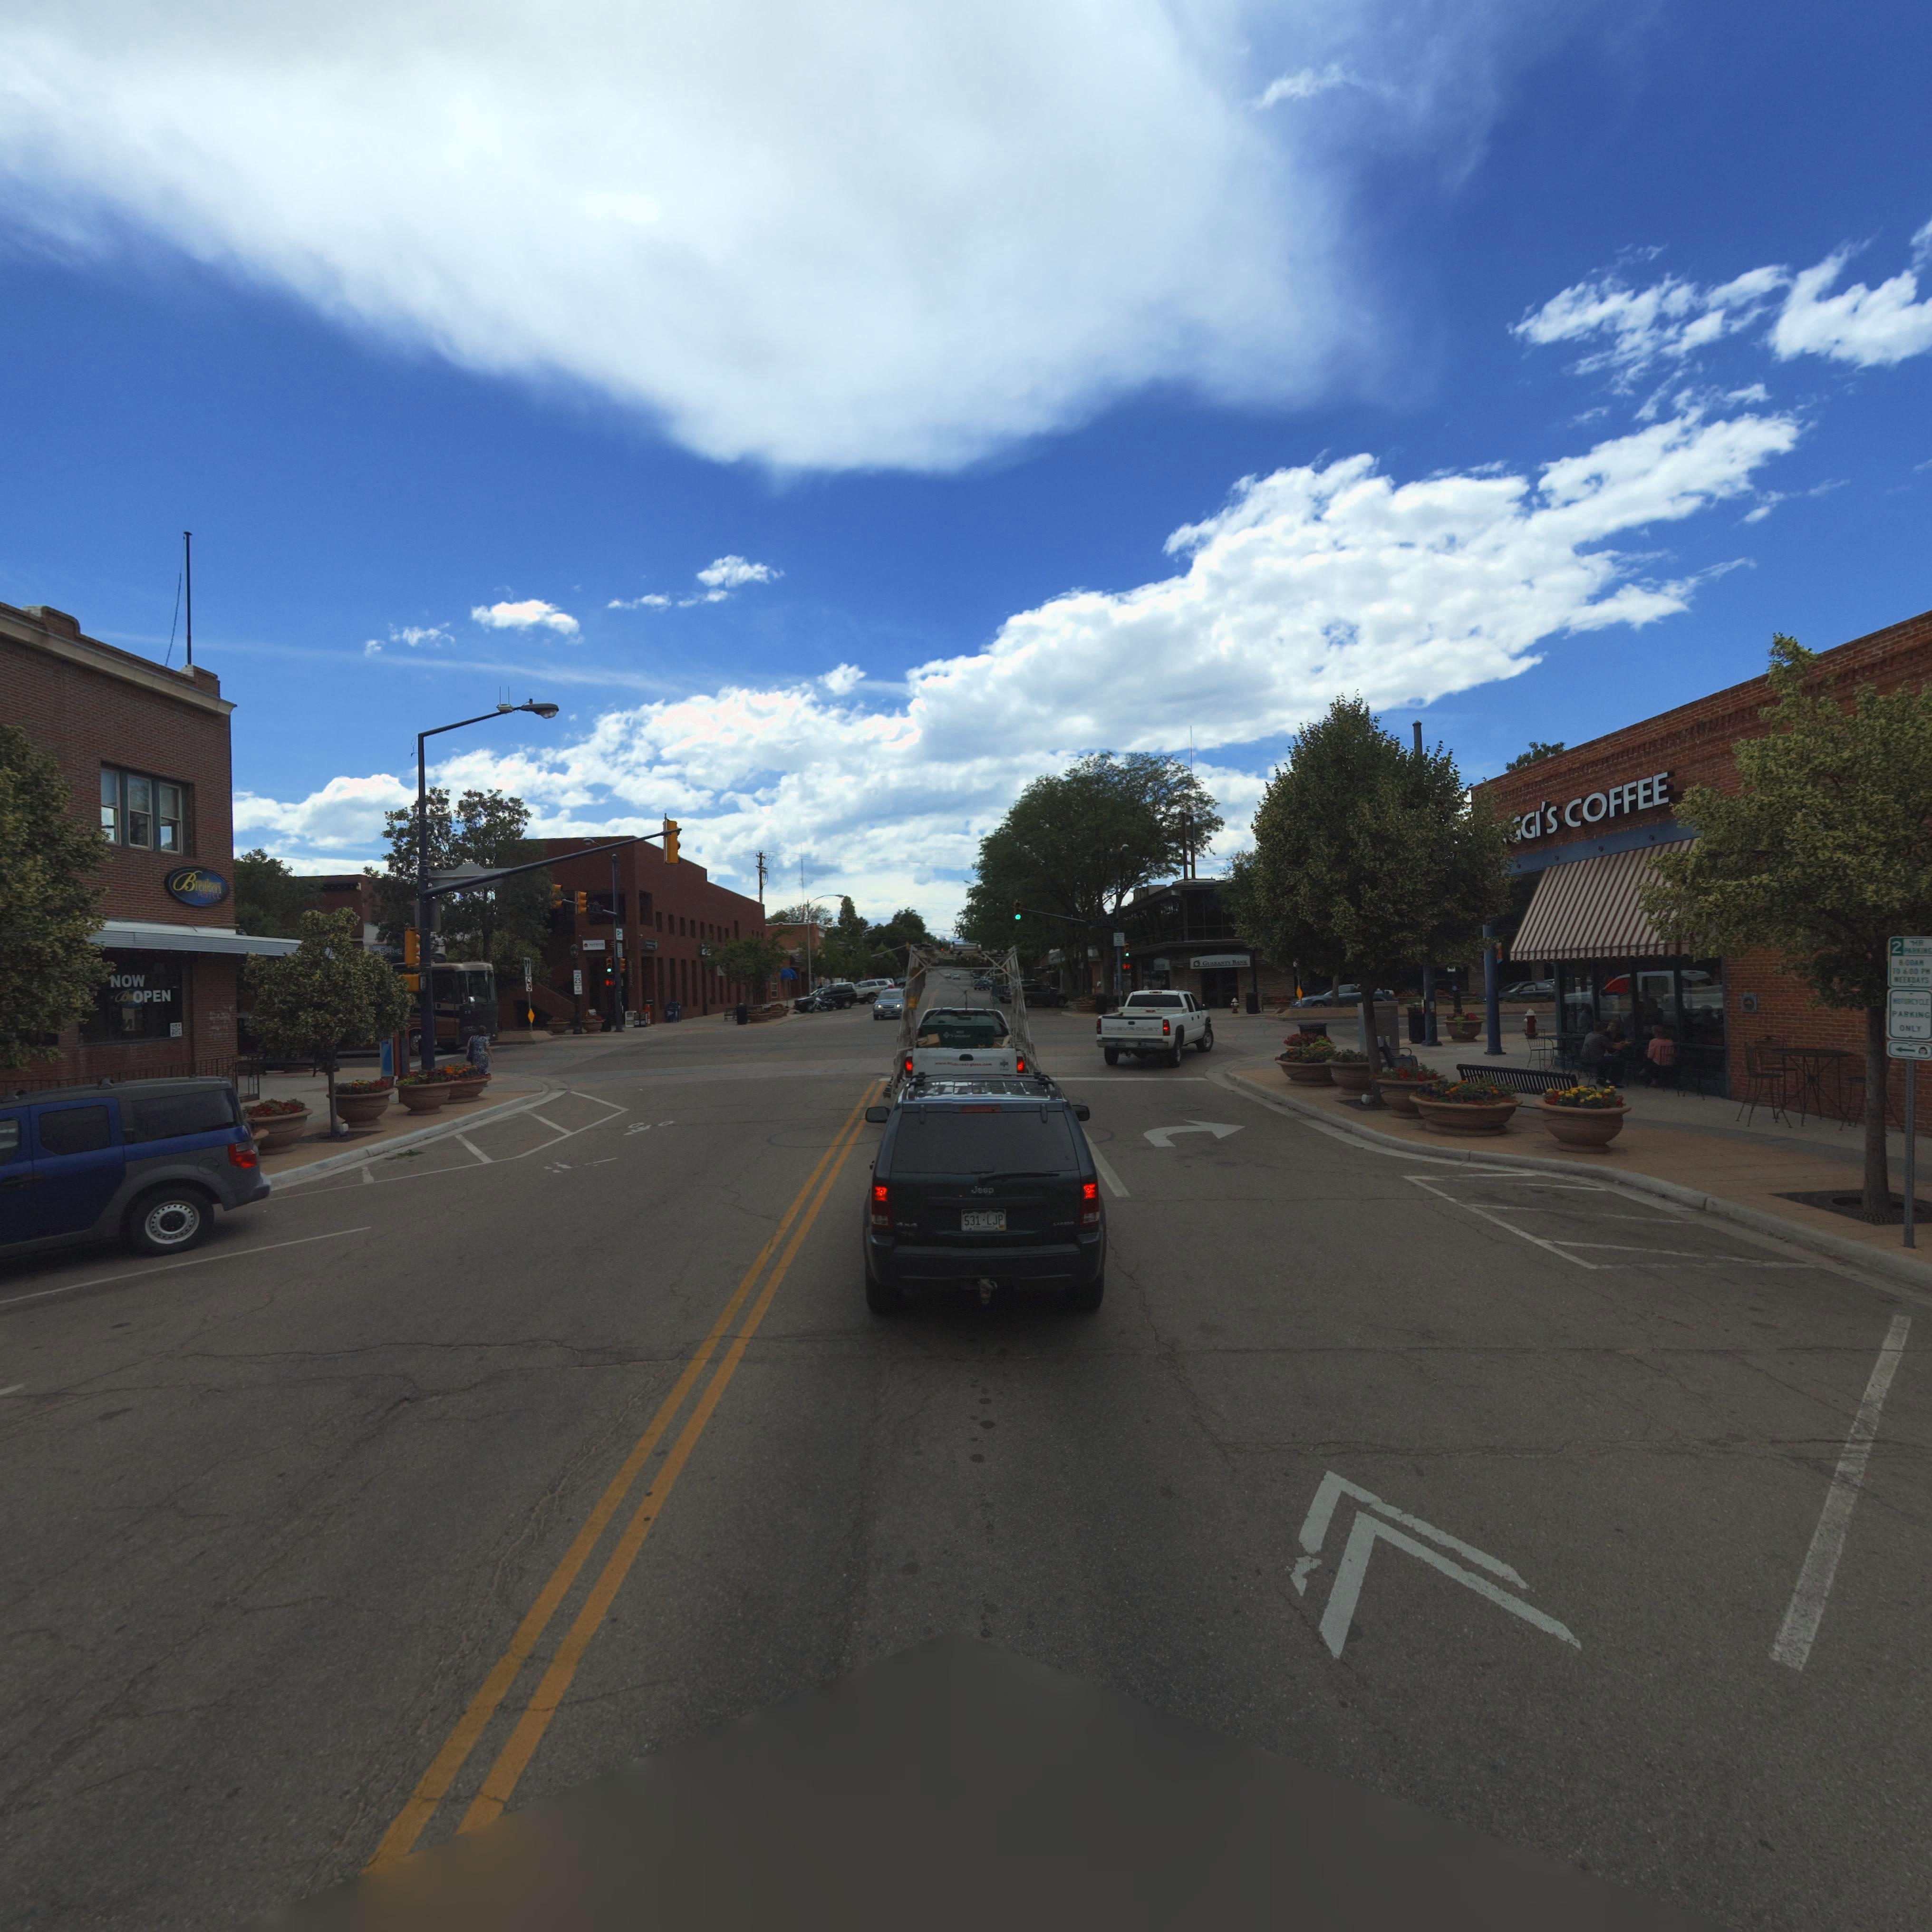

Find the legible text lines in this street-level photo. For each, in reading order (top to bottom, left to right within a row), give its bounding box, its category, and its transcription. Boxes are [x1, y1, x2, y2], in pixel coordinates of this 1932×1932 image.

[1521, 770, 1676, 839] BusinessName: GI'S COFFEE
[172, 870, 222, 894] BusinessName: Breakers
[197, 892, 222, 899] BusinessName: ***LL
[1092, 919, 1115, 925] StreetName: MAIN ST
[1202, 959, 1247, 966] BusinessName: GUARANTY BANK